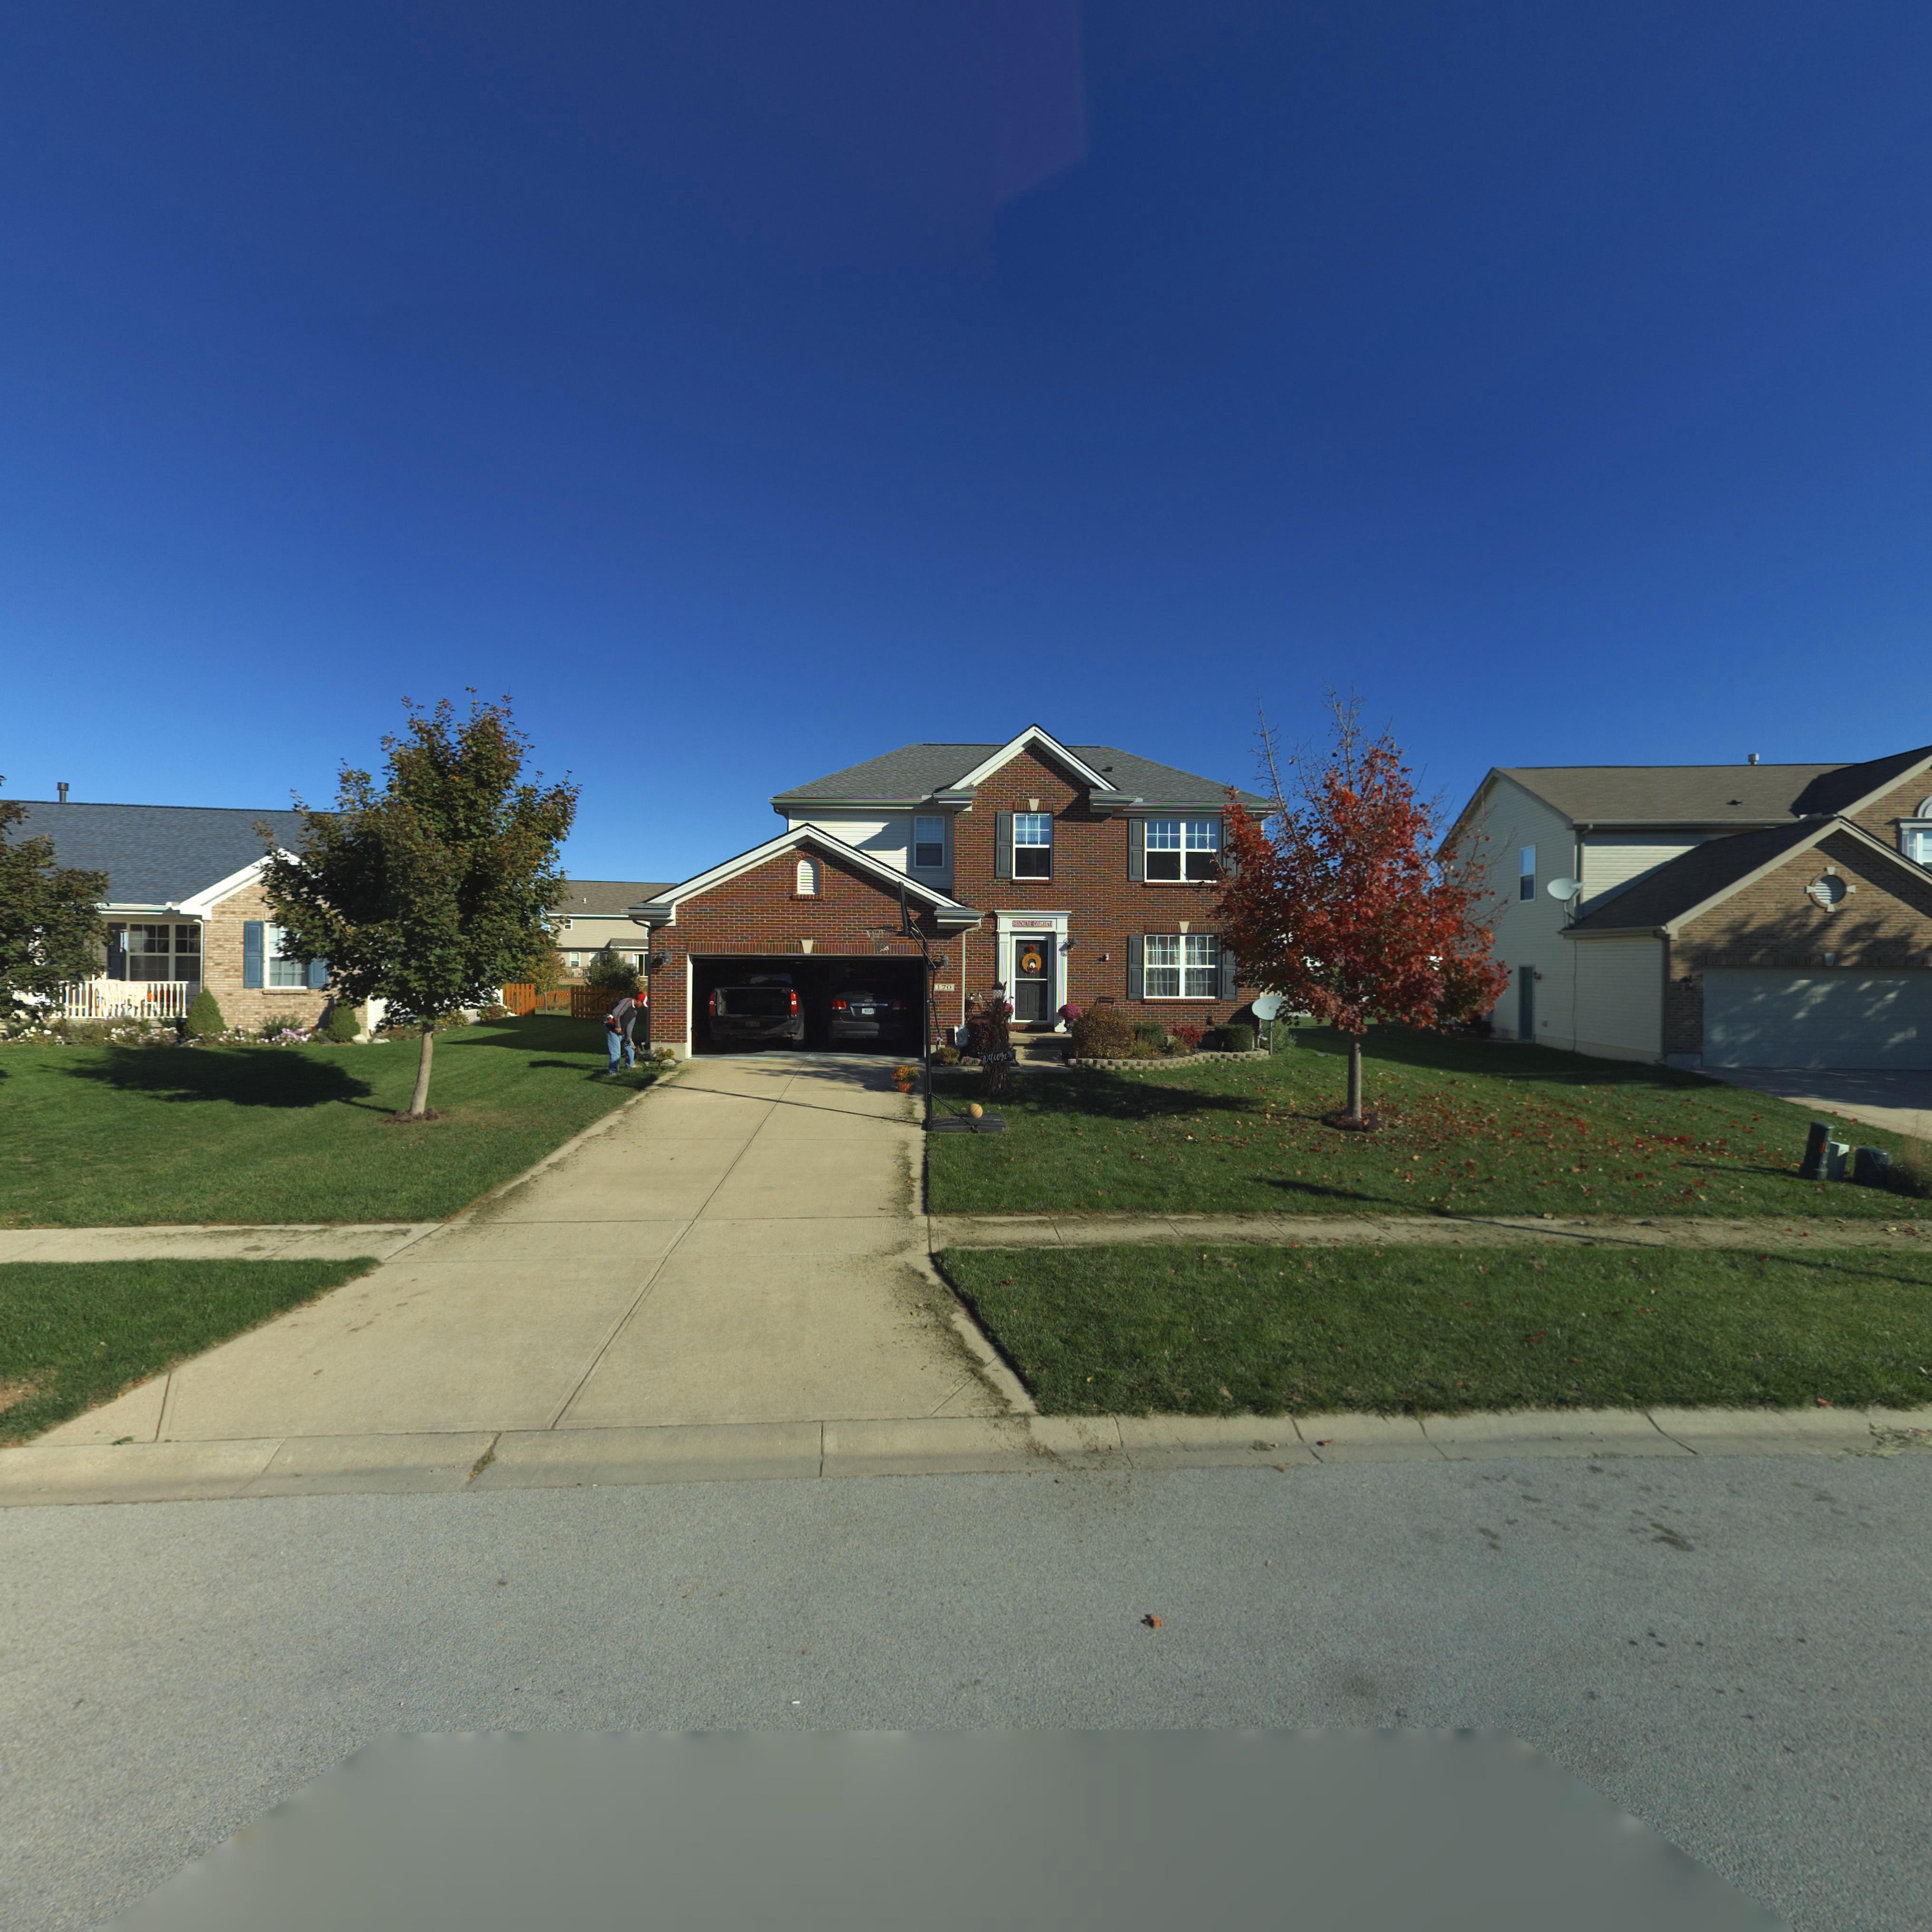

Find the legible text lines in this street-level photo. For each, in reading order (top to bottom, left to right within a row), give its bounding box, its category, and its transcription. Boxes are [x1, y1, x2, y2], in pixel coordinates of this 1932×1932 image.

[937, 985, 951, 990] StreetNumber: 170